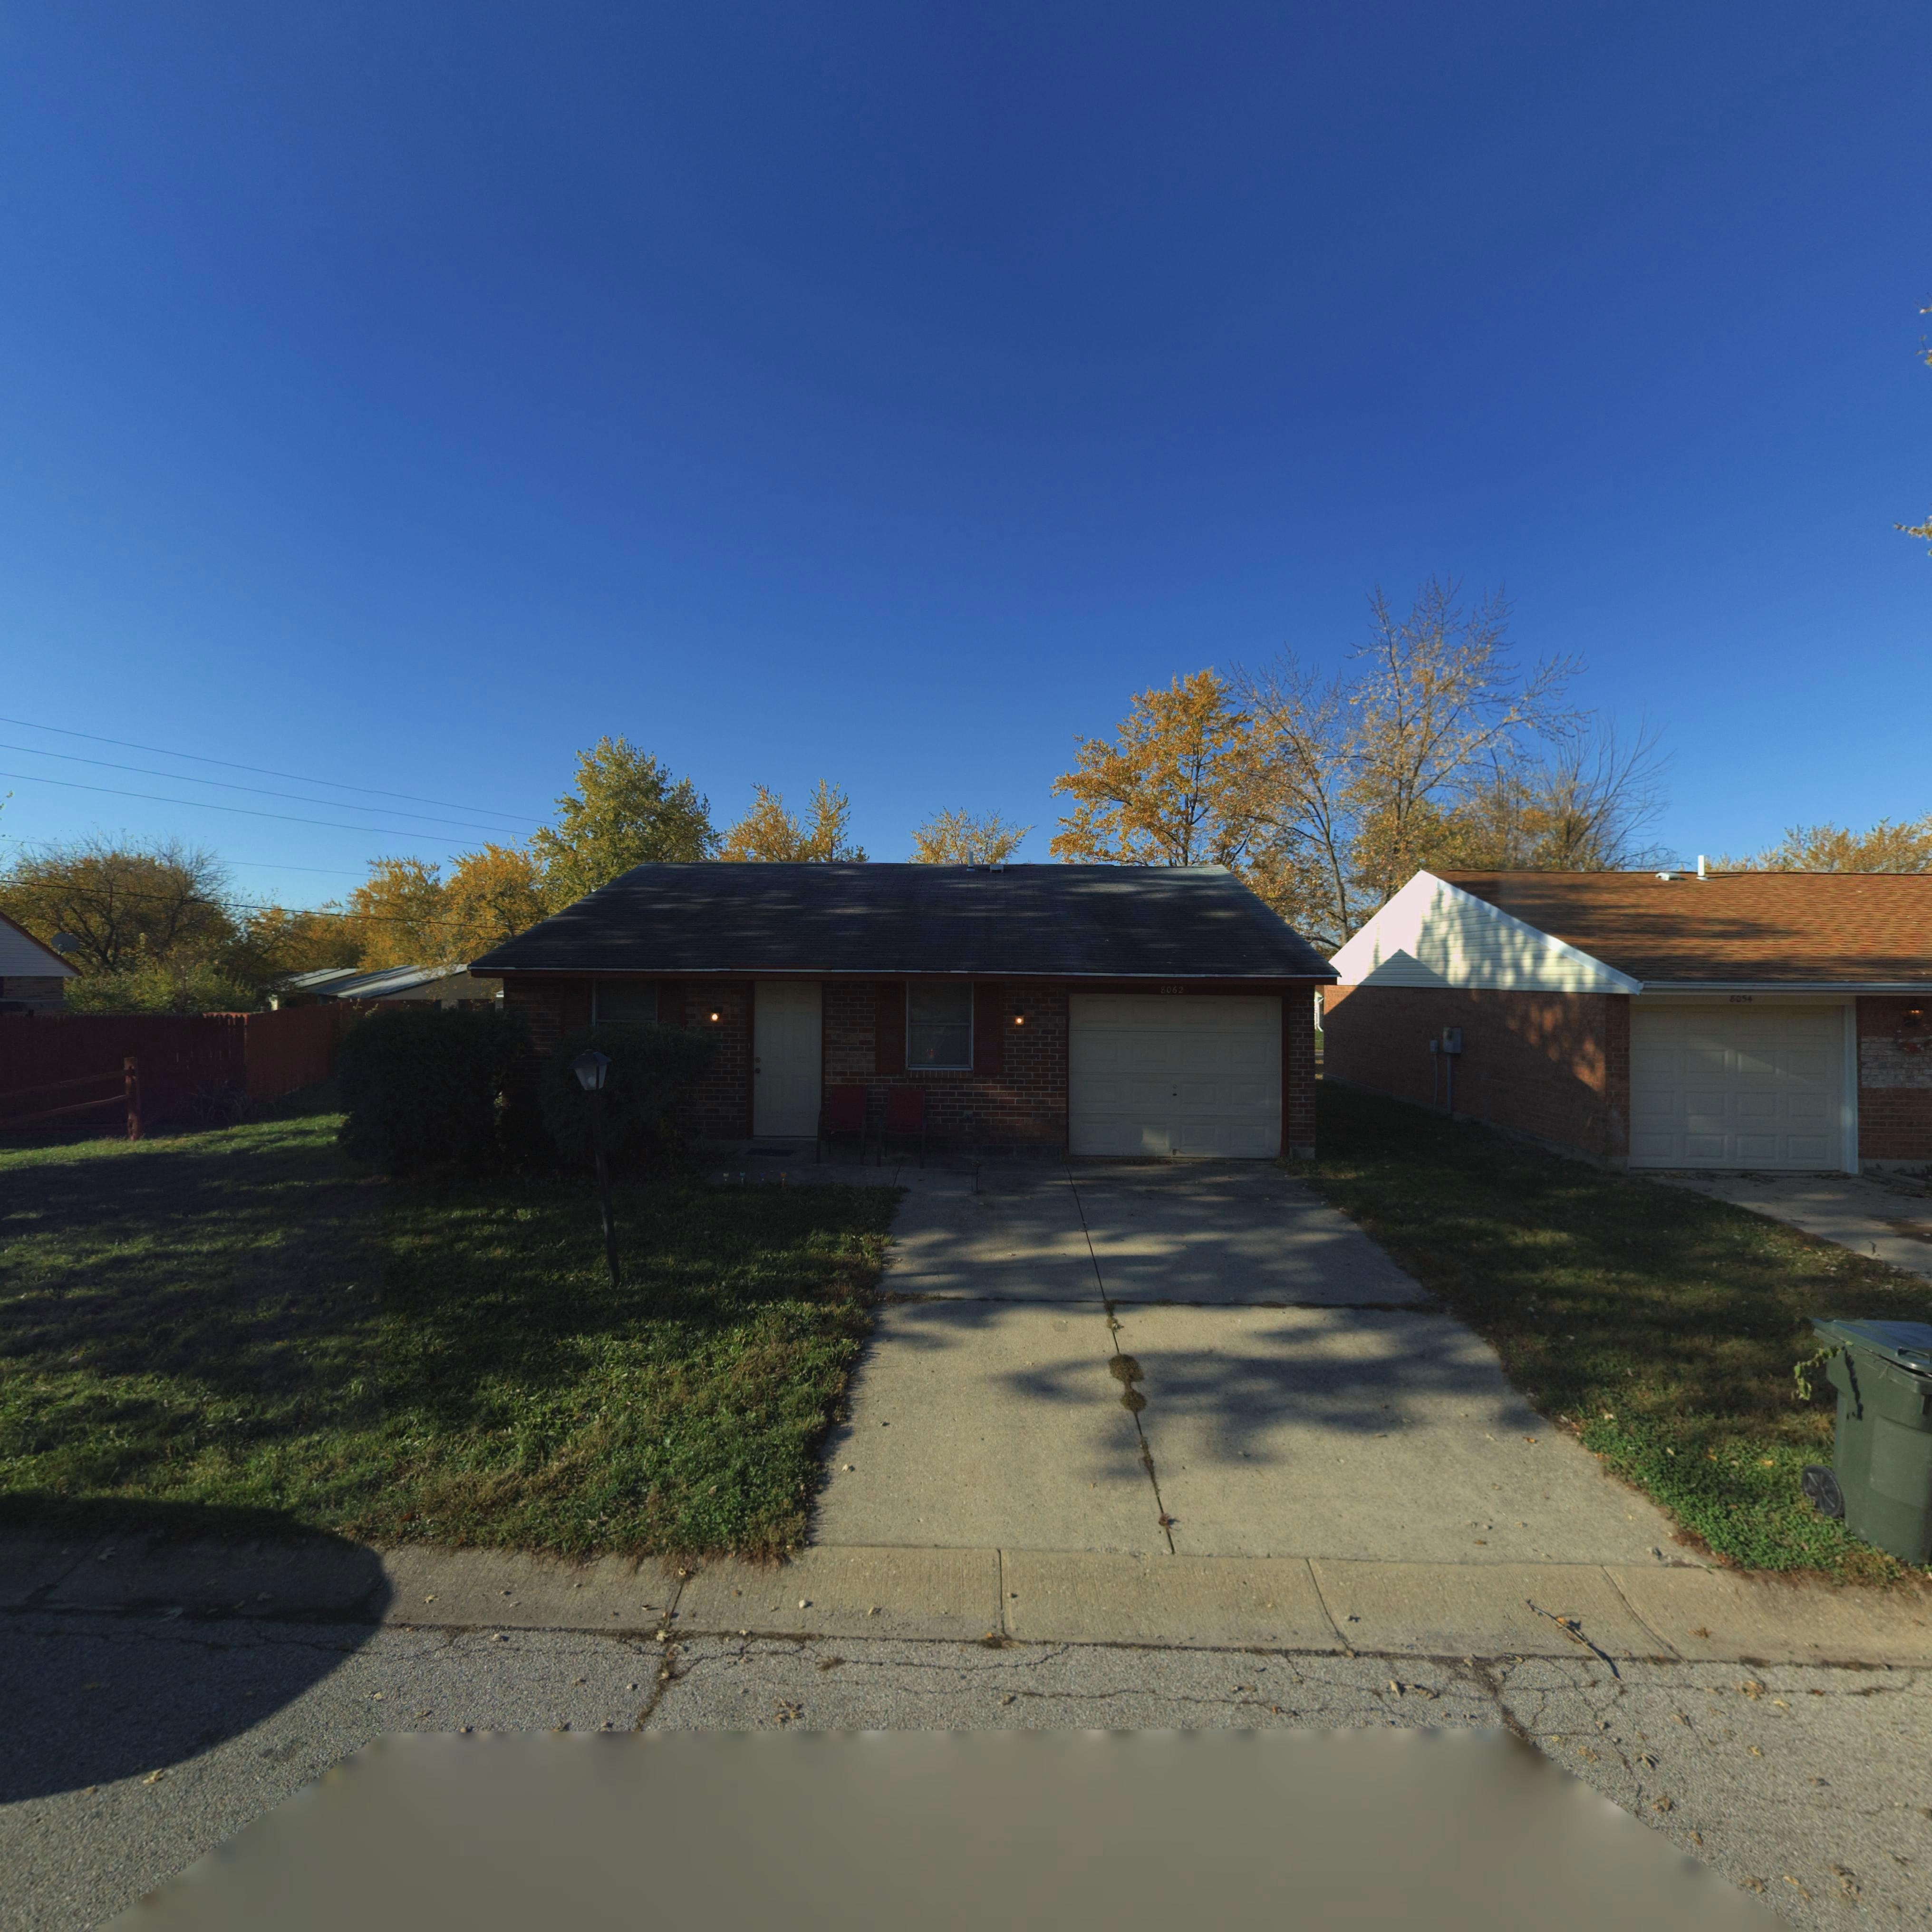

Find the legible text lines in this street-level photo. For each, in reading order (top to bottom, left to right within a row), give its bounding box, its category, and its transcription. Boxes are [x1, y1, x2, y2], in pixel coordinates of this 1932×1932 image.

[1159, 985, 1185, 995] StreetNumber: 8062
[1729, 994, 1754, 1004] StreetNumber: 8054